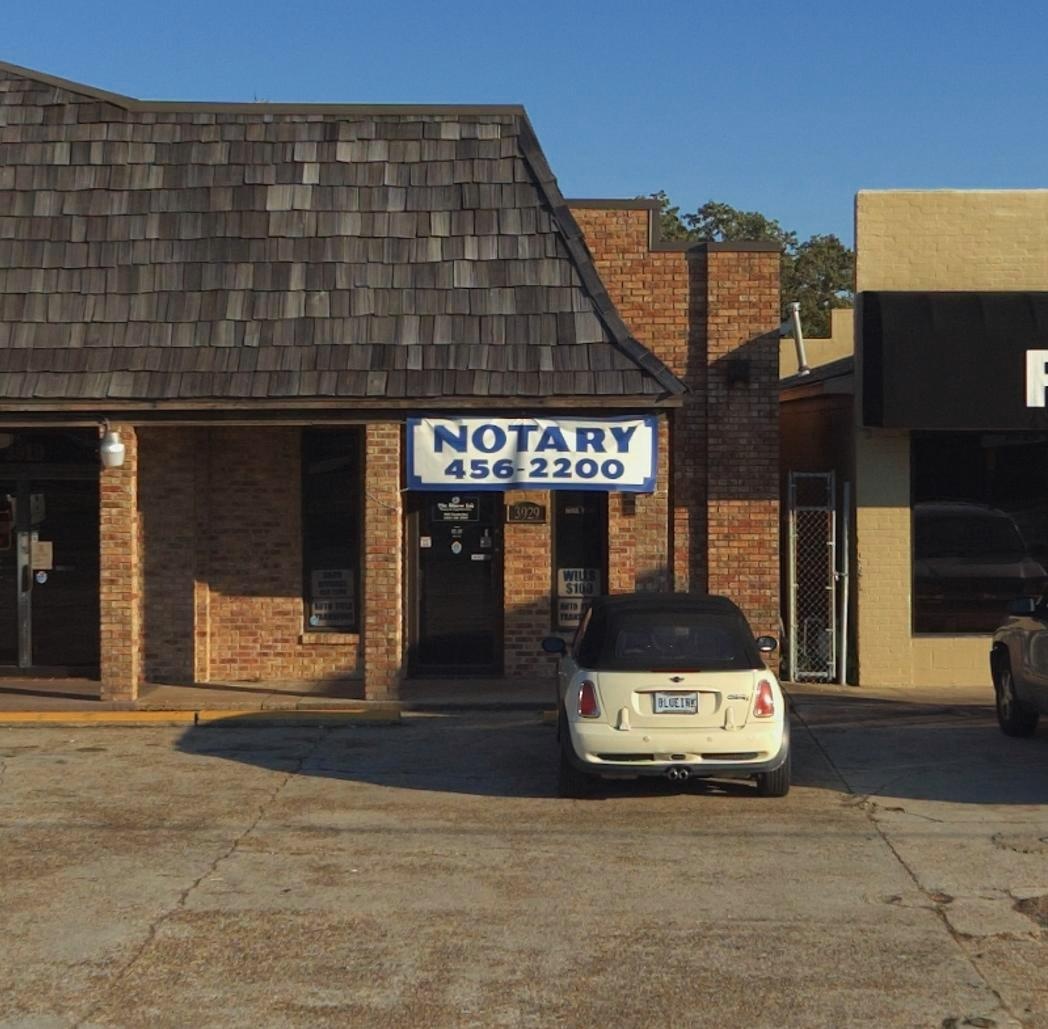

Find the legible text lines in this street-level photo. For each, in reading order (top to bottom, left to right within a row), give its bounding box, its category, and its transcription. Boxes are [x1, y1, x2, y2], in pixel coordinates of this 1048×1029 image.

[429, 423, 641, 456] None: NOTARY
[445, 453, 626, 482] None: 456-2200
[511, 502, 542, 523] StreetNumber: 3029
[560, 566, 598, 584] None: WILES
[561, 582, 594, 597] None: $103
[655, 694, 696, 709] None: BLUEINK